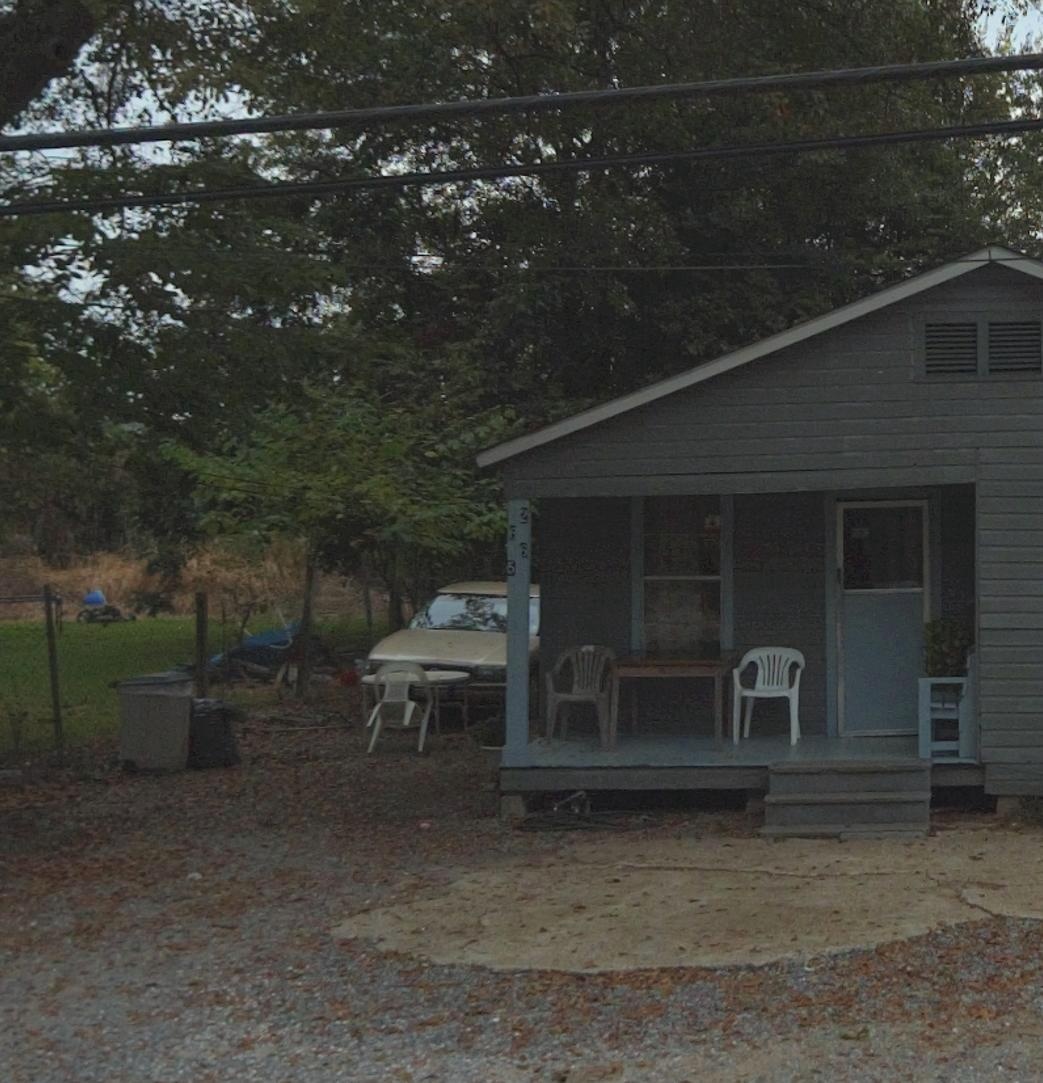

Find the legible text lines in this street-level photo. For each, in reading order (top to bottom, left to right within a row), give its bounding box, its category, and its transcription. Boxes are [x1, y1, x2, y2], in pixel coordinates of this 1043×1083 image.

[507, 507, 528, 576] StreetNumber: 2665